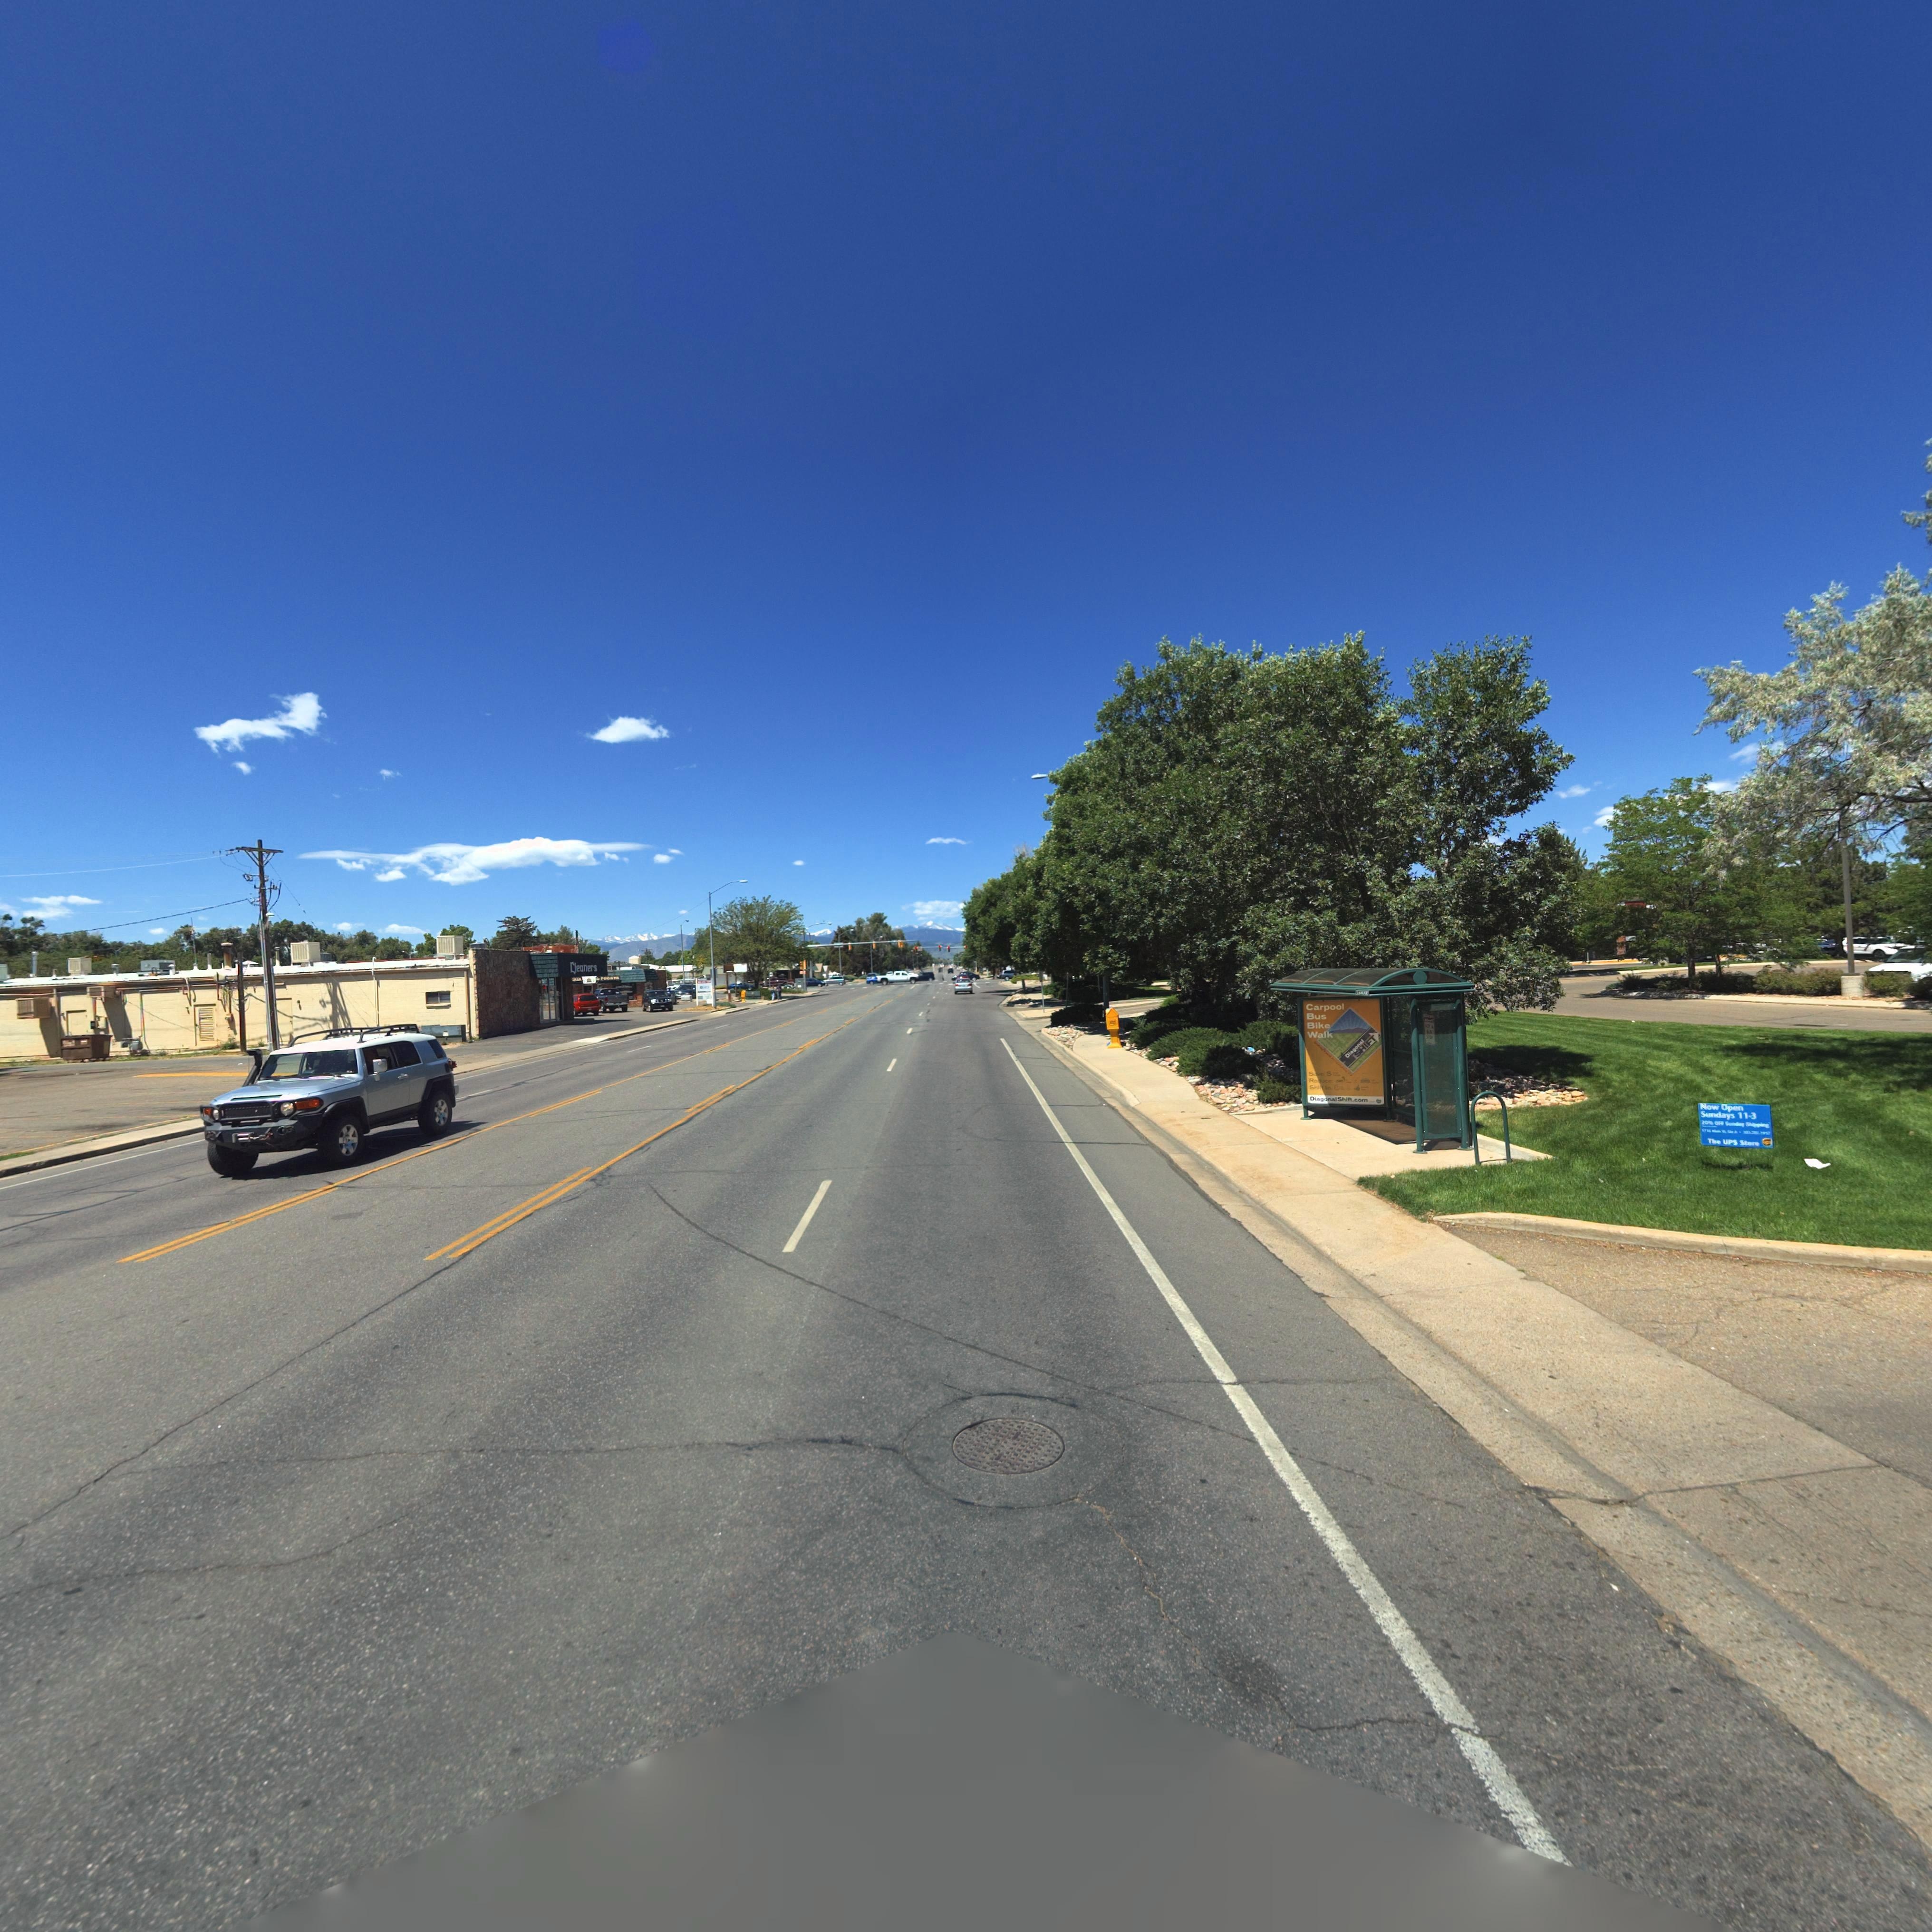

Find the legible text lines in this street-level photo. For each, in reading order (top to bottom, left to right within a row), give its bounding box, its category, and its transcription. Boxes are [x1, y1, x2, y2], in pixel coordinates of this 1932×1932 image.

[600, 976, 620, 981] BusinessName: F*****